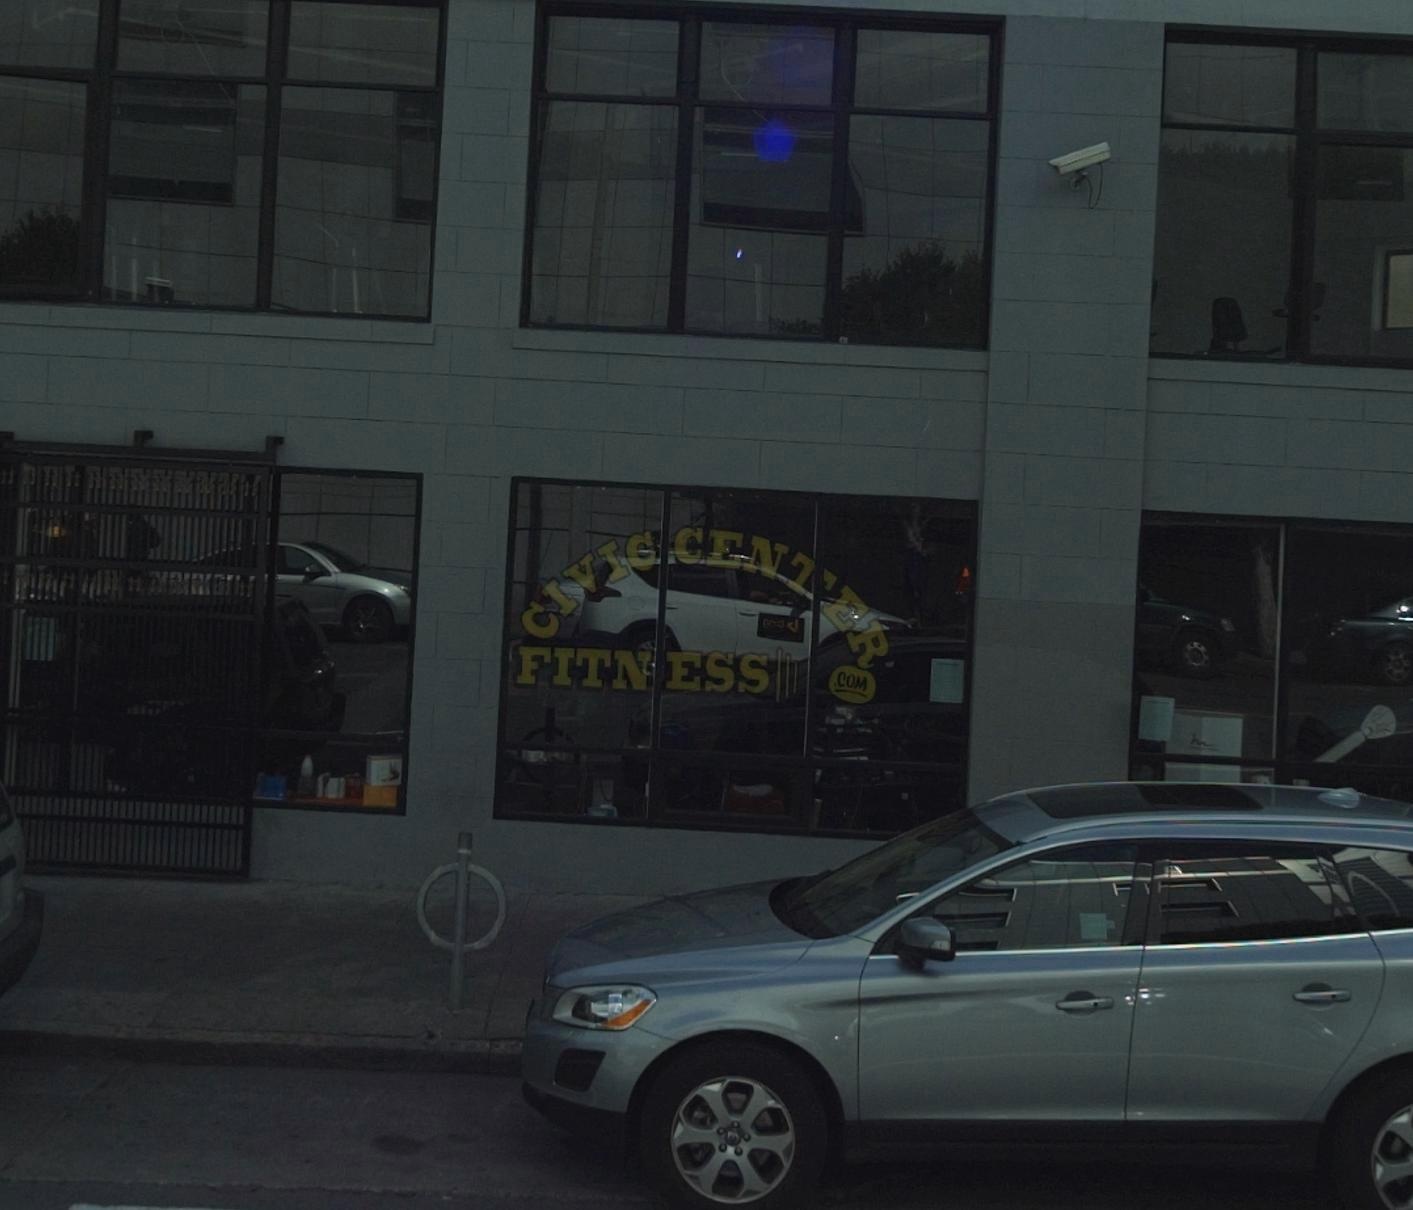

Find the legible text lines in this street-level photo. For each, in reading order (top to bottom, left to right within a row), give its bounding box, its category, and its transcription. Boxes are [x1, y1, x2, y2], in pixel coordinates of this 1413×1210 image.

[508, 523, 900, 673] BusinessName: CIVIC CEN*ER
[757, 615, 788, 631] None: **id
[507, 641, 771, 699] BusinessName: FITNESS
[829, 666, 871, 697] None: .com